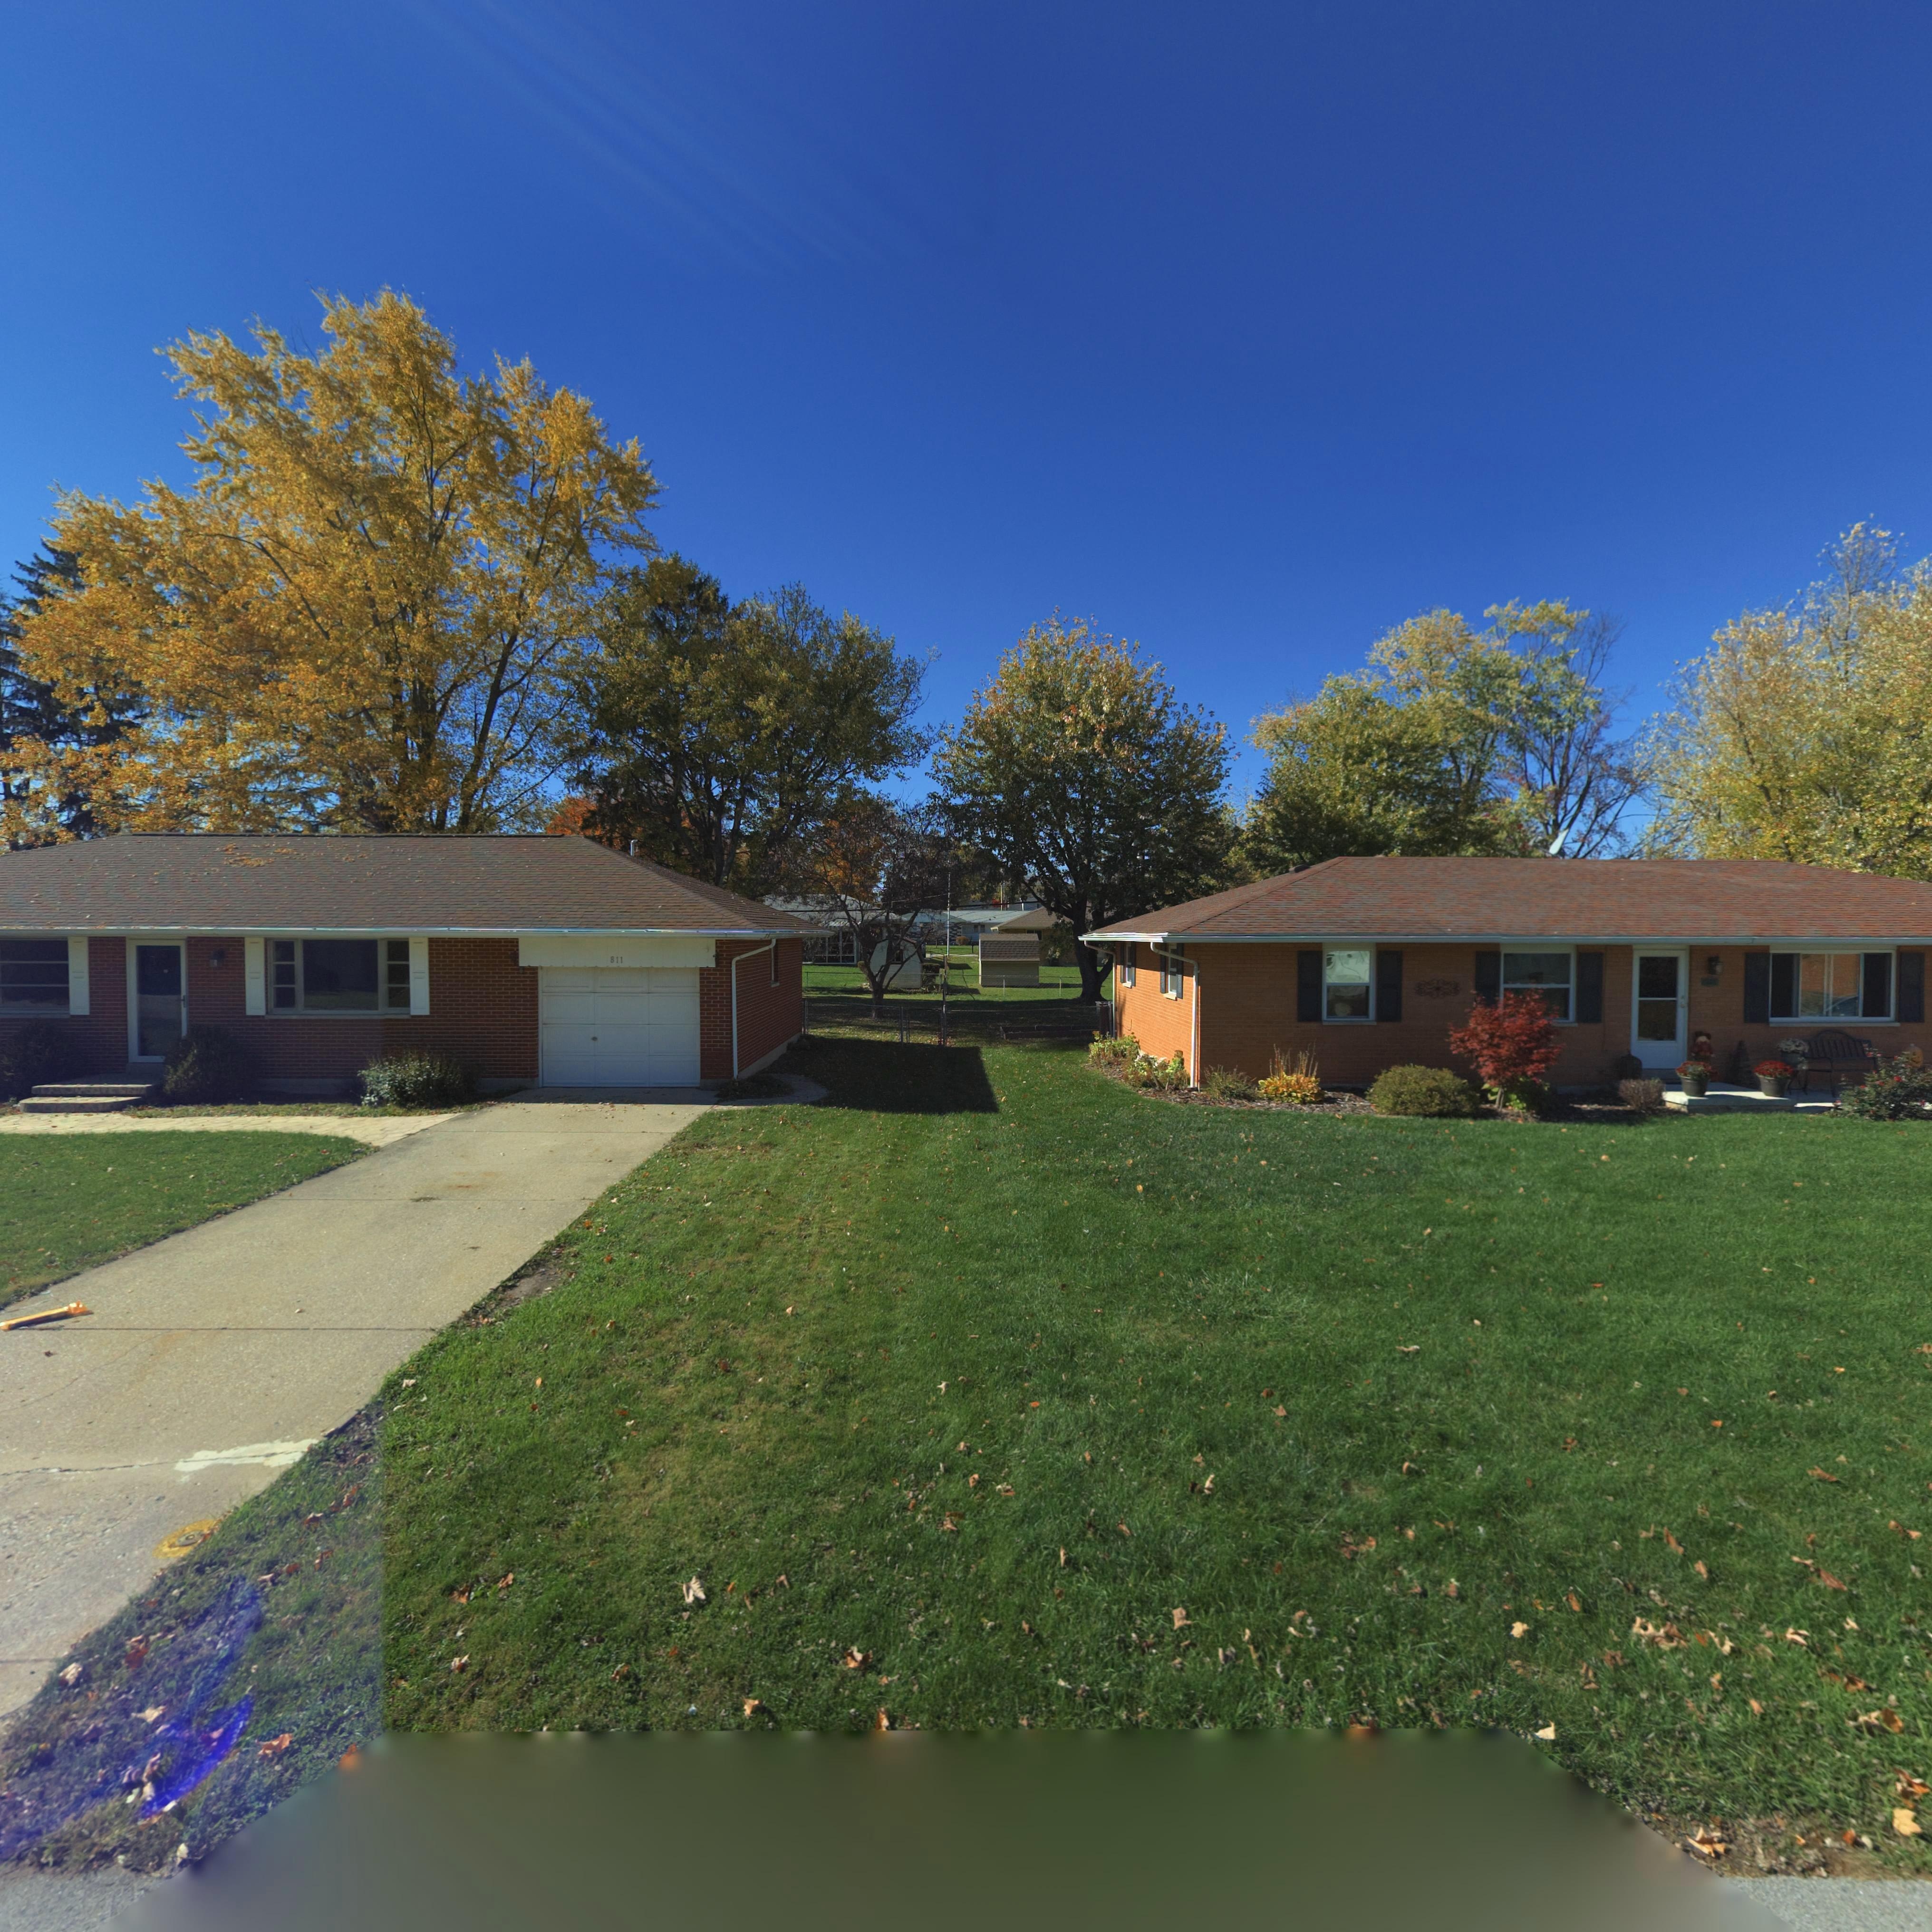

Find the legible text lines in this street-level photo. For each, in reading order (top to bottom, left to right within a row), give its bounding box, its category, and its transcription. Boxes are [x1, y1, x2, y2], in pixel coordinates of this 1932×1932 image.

[609, 955, 624, 965] StreetNumber: 811